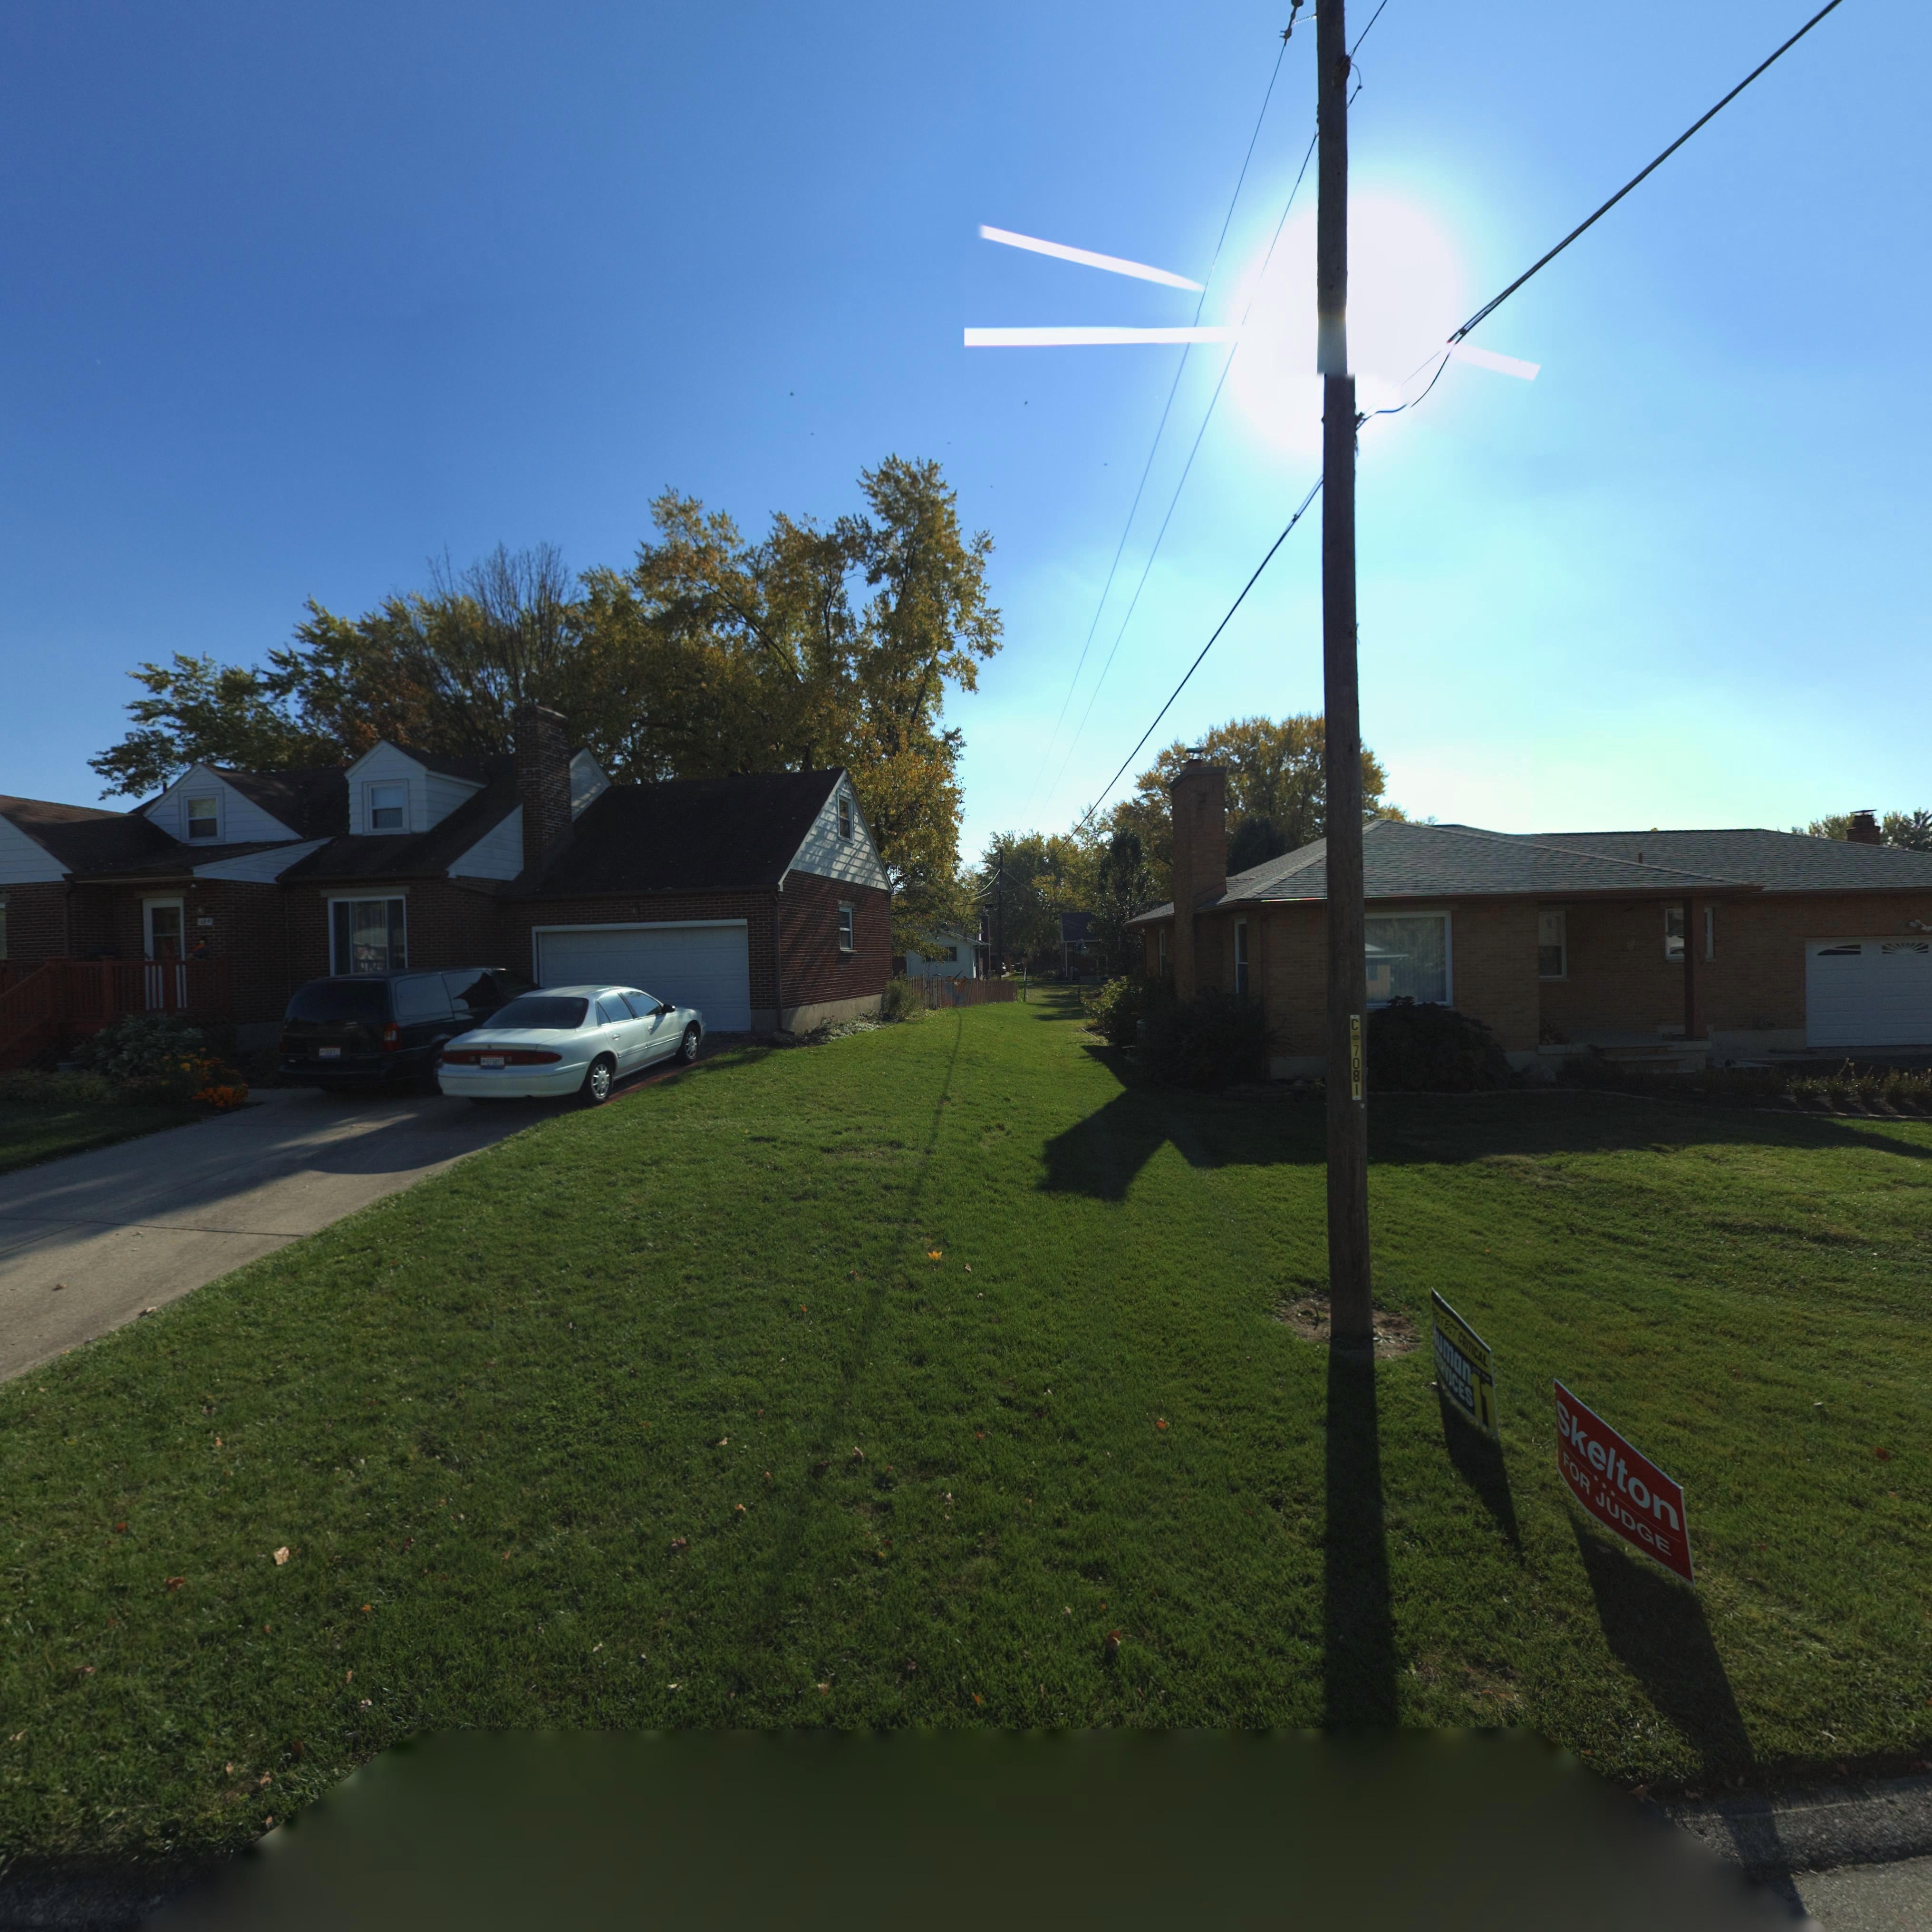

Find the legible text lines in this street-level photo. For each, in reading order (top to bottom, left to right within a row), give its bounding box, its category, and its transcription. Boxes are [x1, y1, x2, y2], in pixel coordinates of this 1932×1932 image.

[197, 918, 212, 925] StreetNumber: **4
[1692, 943, 1706, 966] StreetNumber: 6**
[486, 1058, 503, 1066] None: EF58YZ
[1350, 1018, 1361, 1096] None: C*7081
[1436, 1330, 1472, 1387] None: uman
[1443, 1359, 1474, 1408] None: VICES
[1436, 1311, 1488, 1370] None: OTECT CRITICAL
[1469, 1371, 1498, 1434] None: 11
[1556, 1399, 1681, 1531] None: Skelton
[1562, 1449, 1673, 1558] None: FOR JUDGE